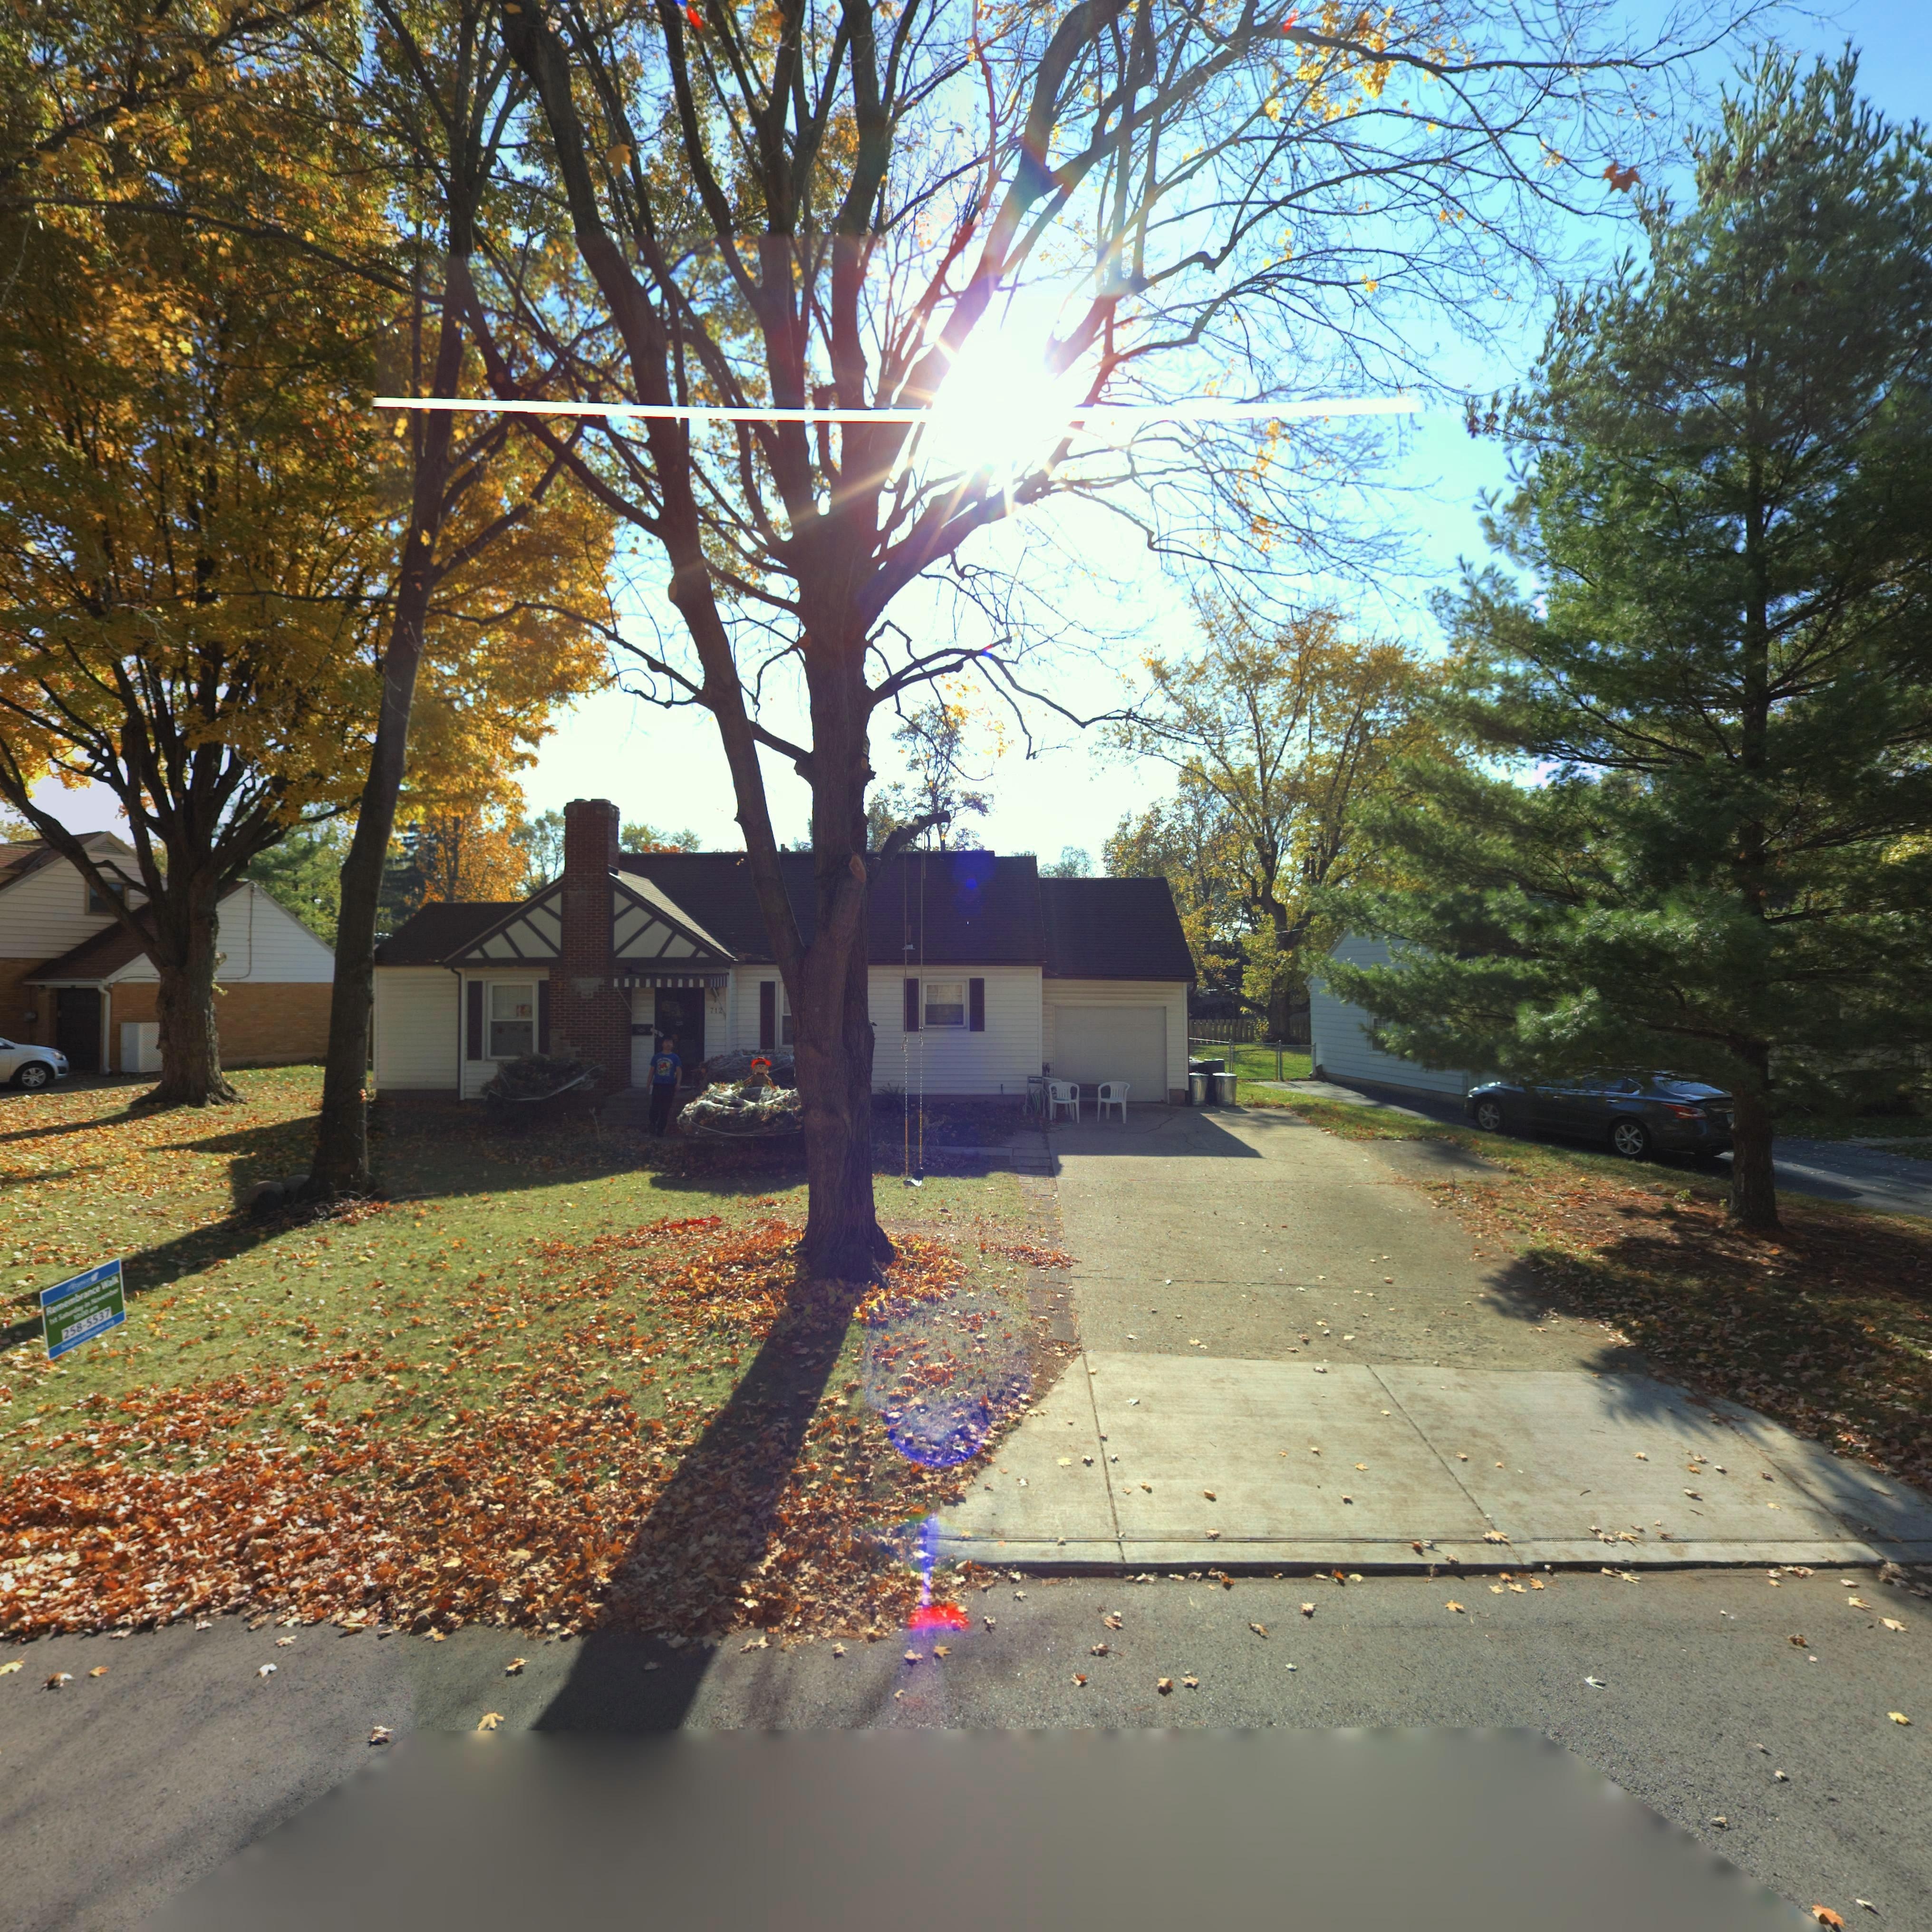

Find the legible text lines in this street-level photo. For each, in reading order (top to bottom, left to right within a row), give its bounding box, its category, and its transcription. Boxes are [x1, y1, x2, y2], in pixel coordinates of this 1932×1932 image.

[710, 1007, 723, 1014] StreetNumber: 712